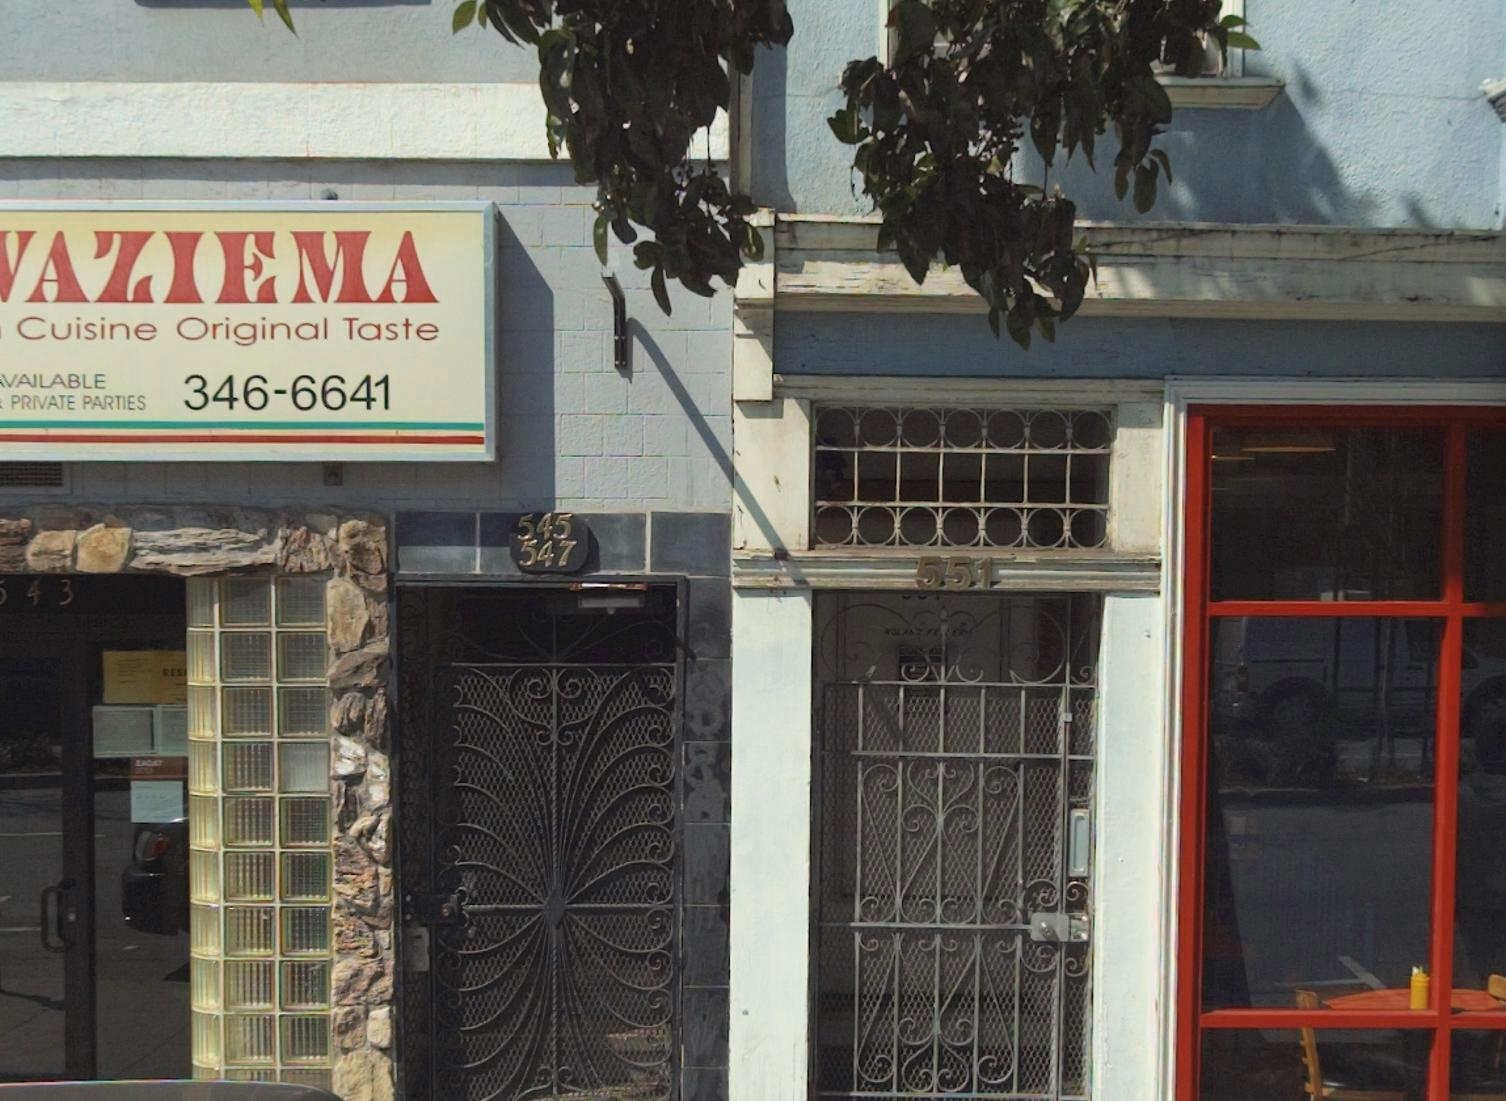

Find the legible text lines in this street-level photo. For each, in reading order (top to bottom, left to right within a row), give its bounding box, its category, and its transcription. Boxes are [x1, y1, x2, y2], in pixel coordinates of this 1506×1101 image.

[18, 226, 448, 306] BusinessName: AZIEMA
[11, 313, 444, 343] None: Cuisine Original Taste
[1, 372, 104, 390] None: VAILABLE
[7, 392, 148, 414] None: PRIVATE PARTIES
[176, 370, 393, 414] None: 346-6641
[516, 512, 576, 541] StreetNumber: 545
[518, 539, 581, 568] StreetNumber: 547
[915, 554, 993, 591] StreetNumber: 551
[22, 577, 76, 608] StreetNumber: 43